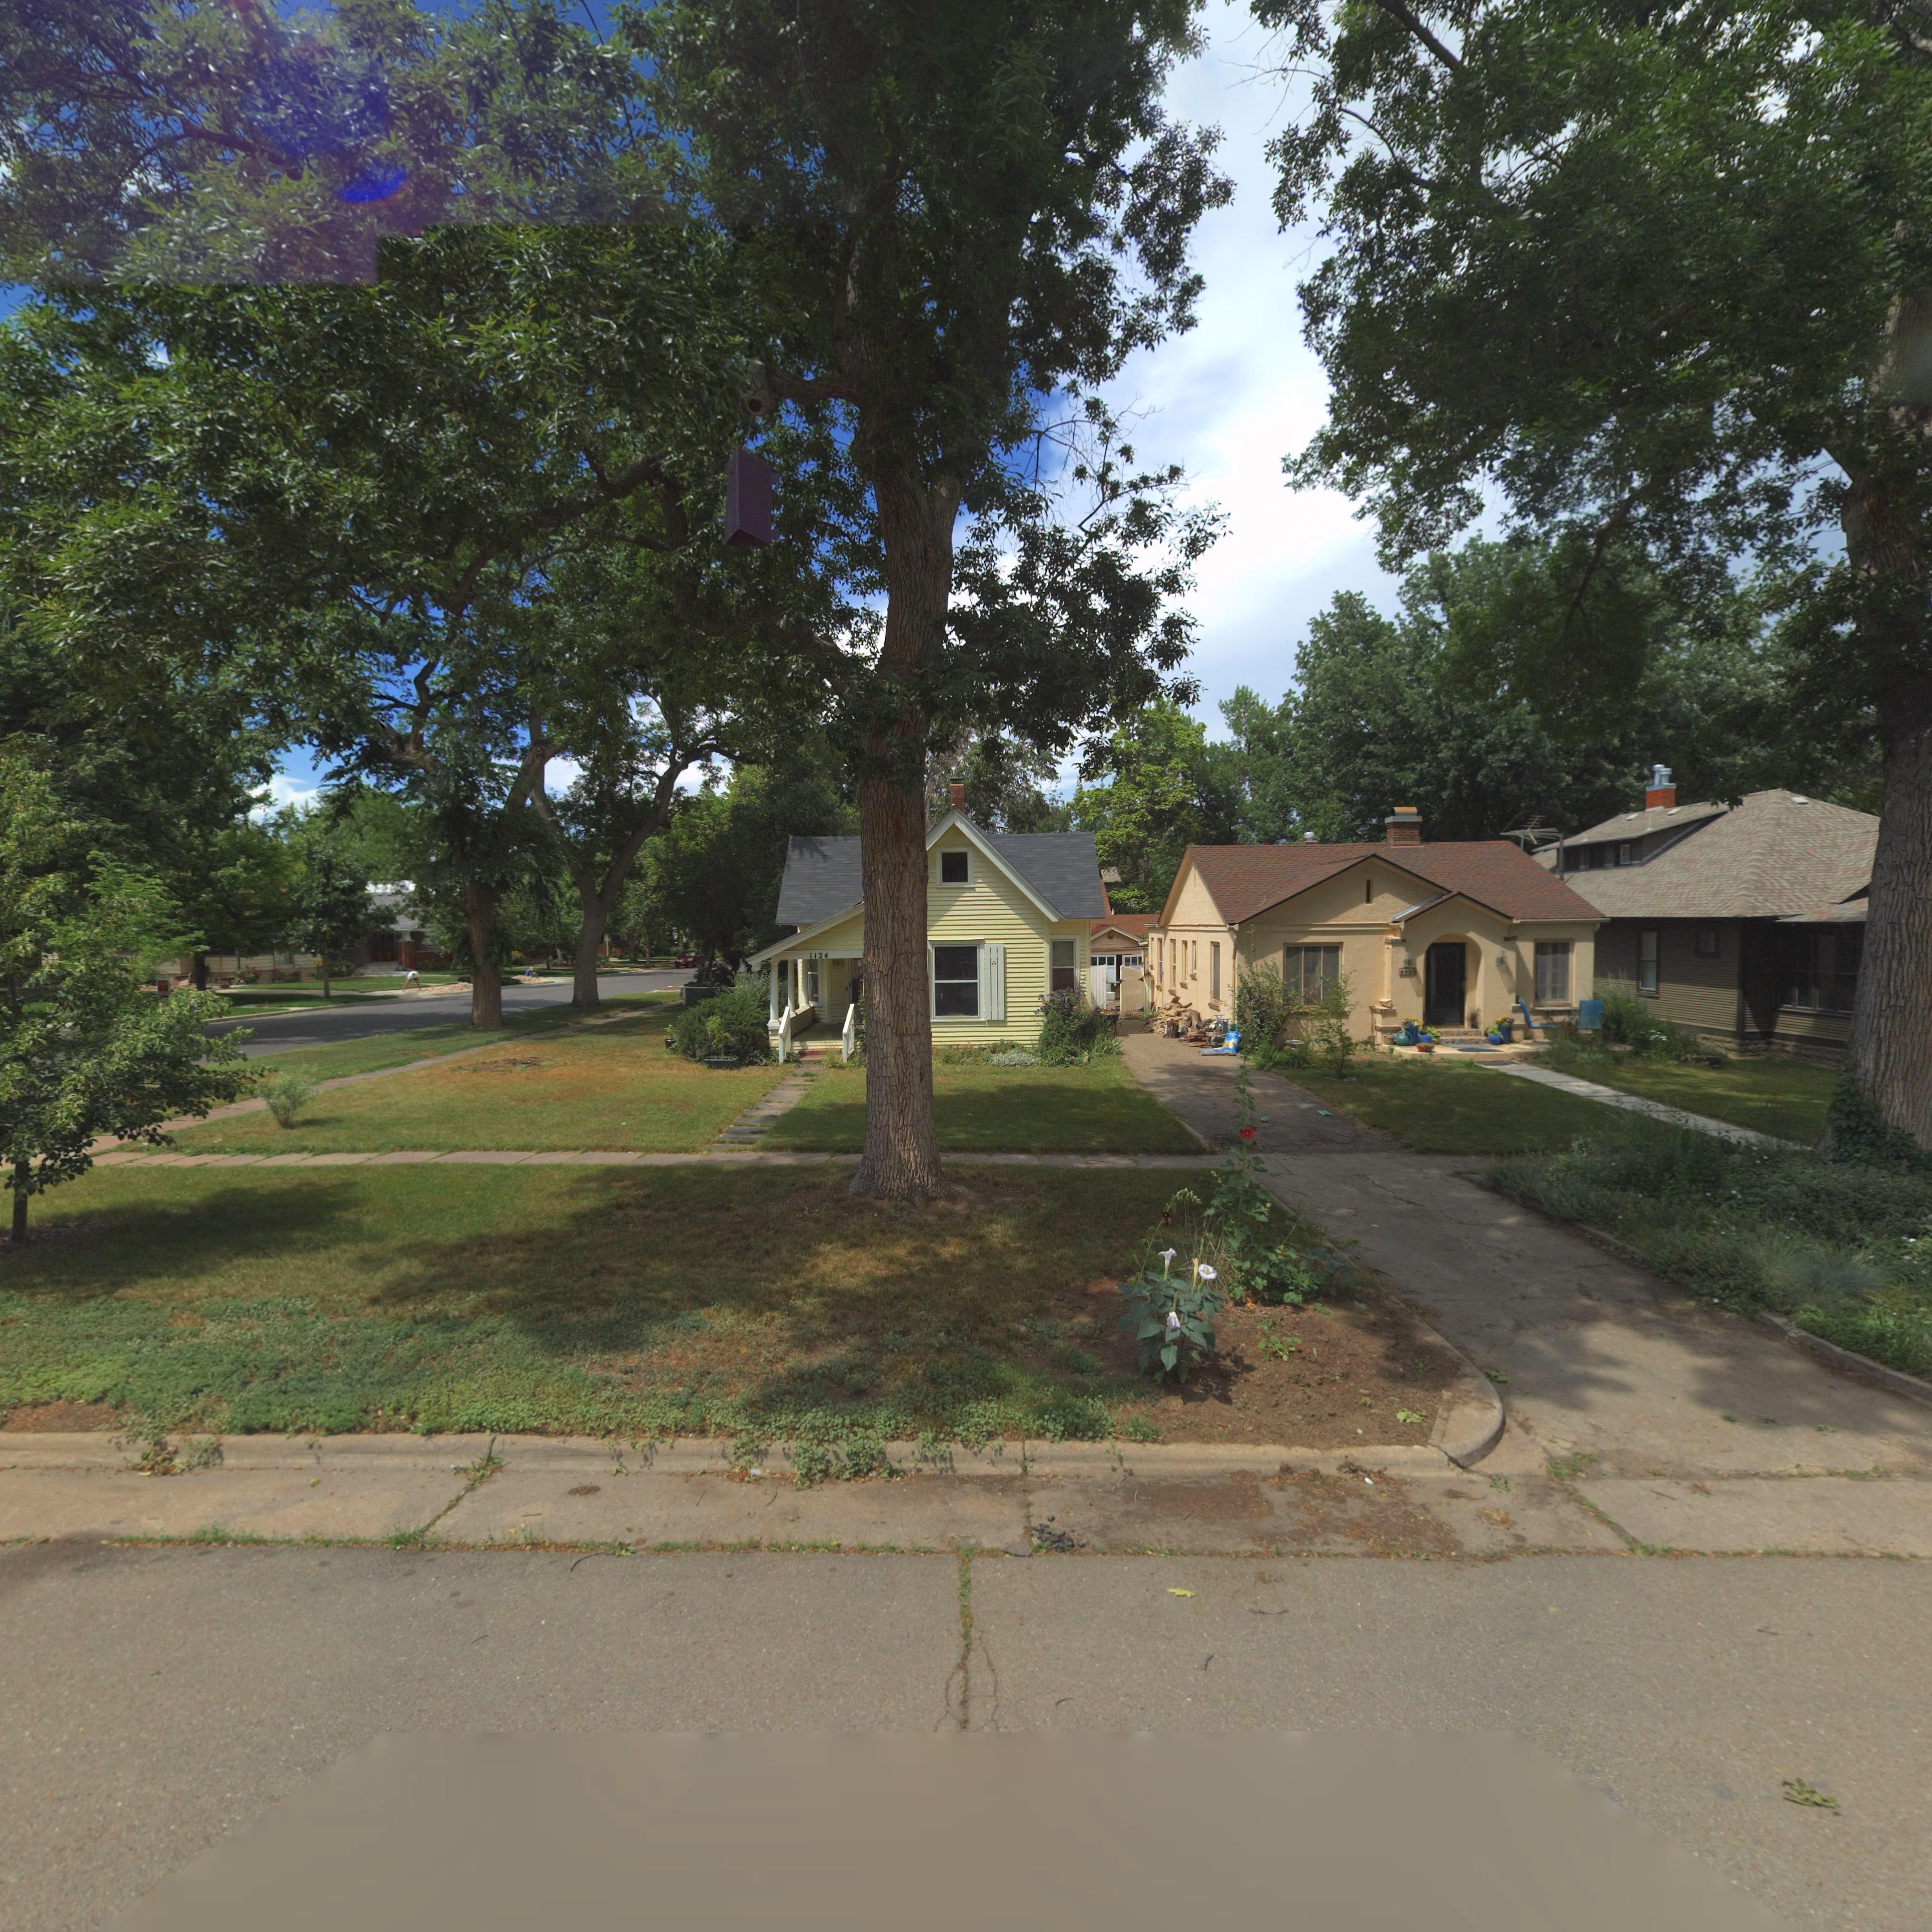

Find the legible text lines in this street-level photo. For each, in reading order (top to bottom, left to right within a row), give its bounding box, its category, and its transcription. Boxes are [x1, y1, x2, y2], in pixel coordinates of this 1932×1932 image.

[810, 952, 829, 959] StreetNumber: 1124
[1400, 969, 1416, 975] StreetNumber: 11**